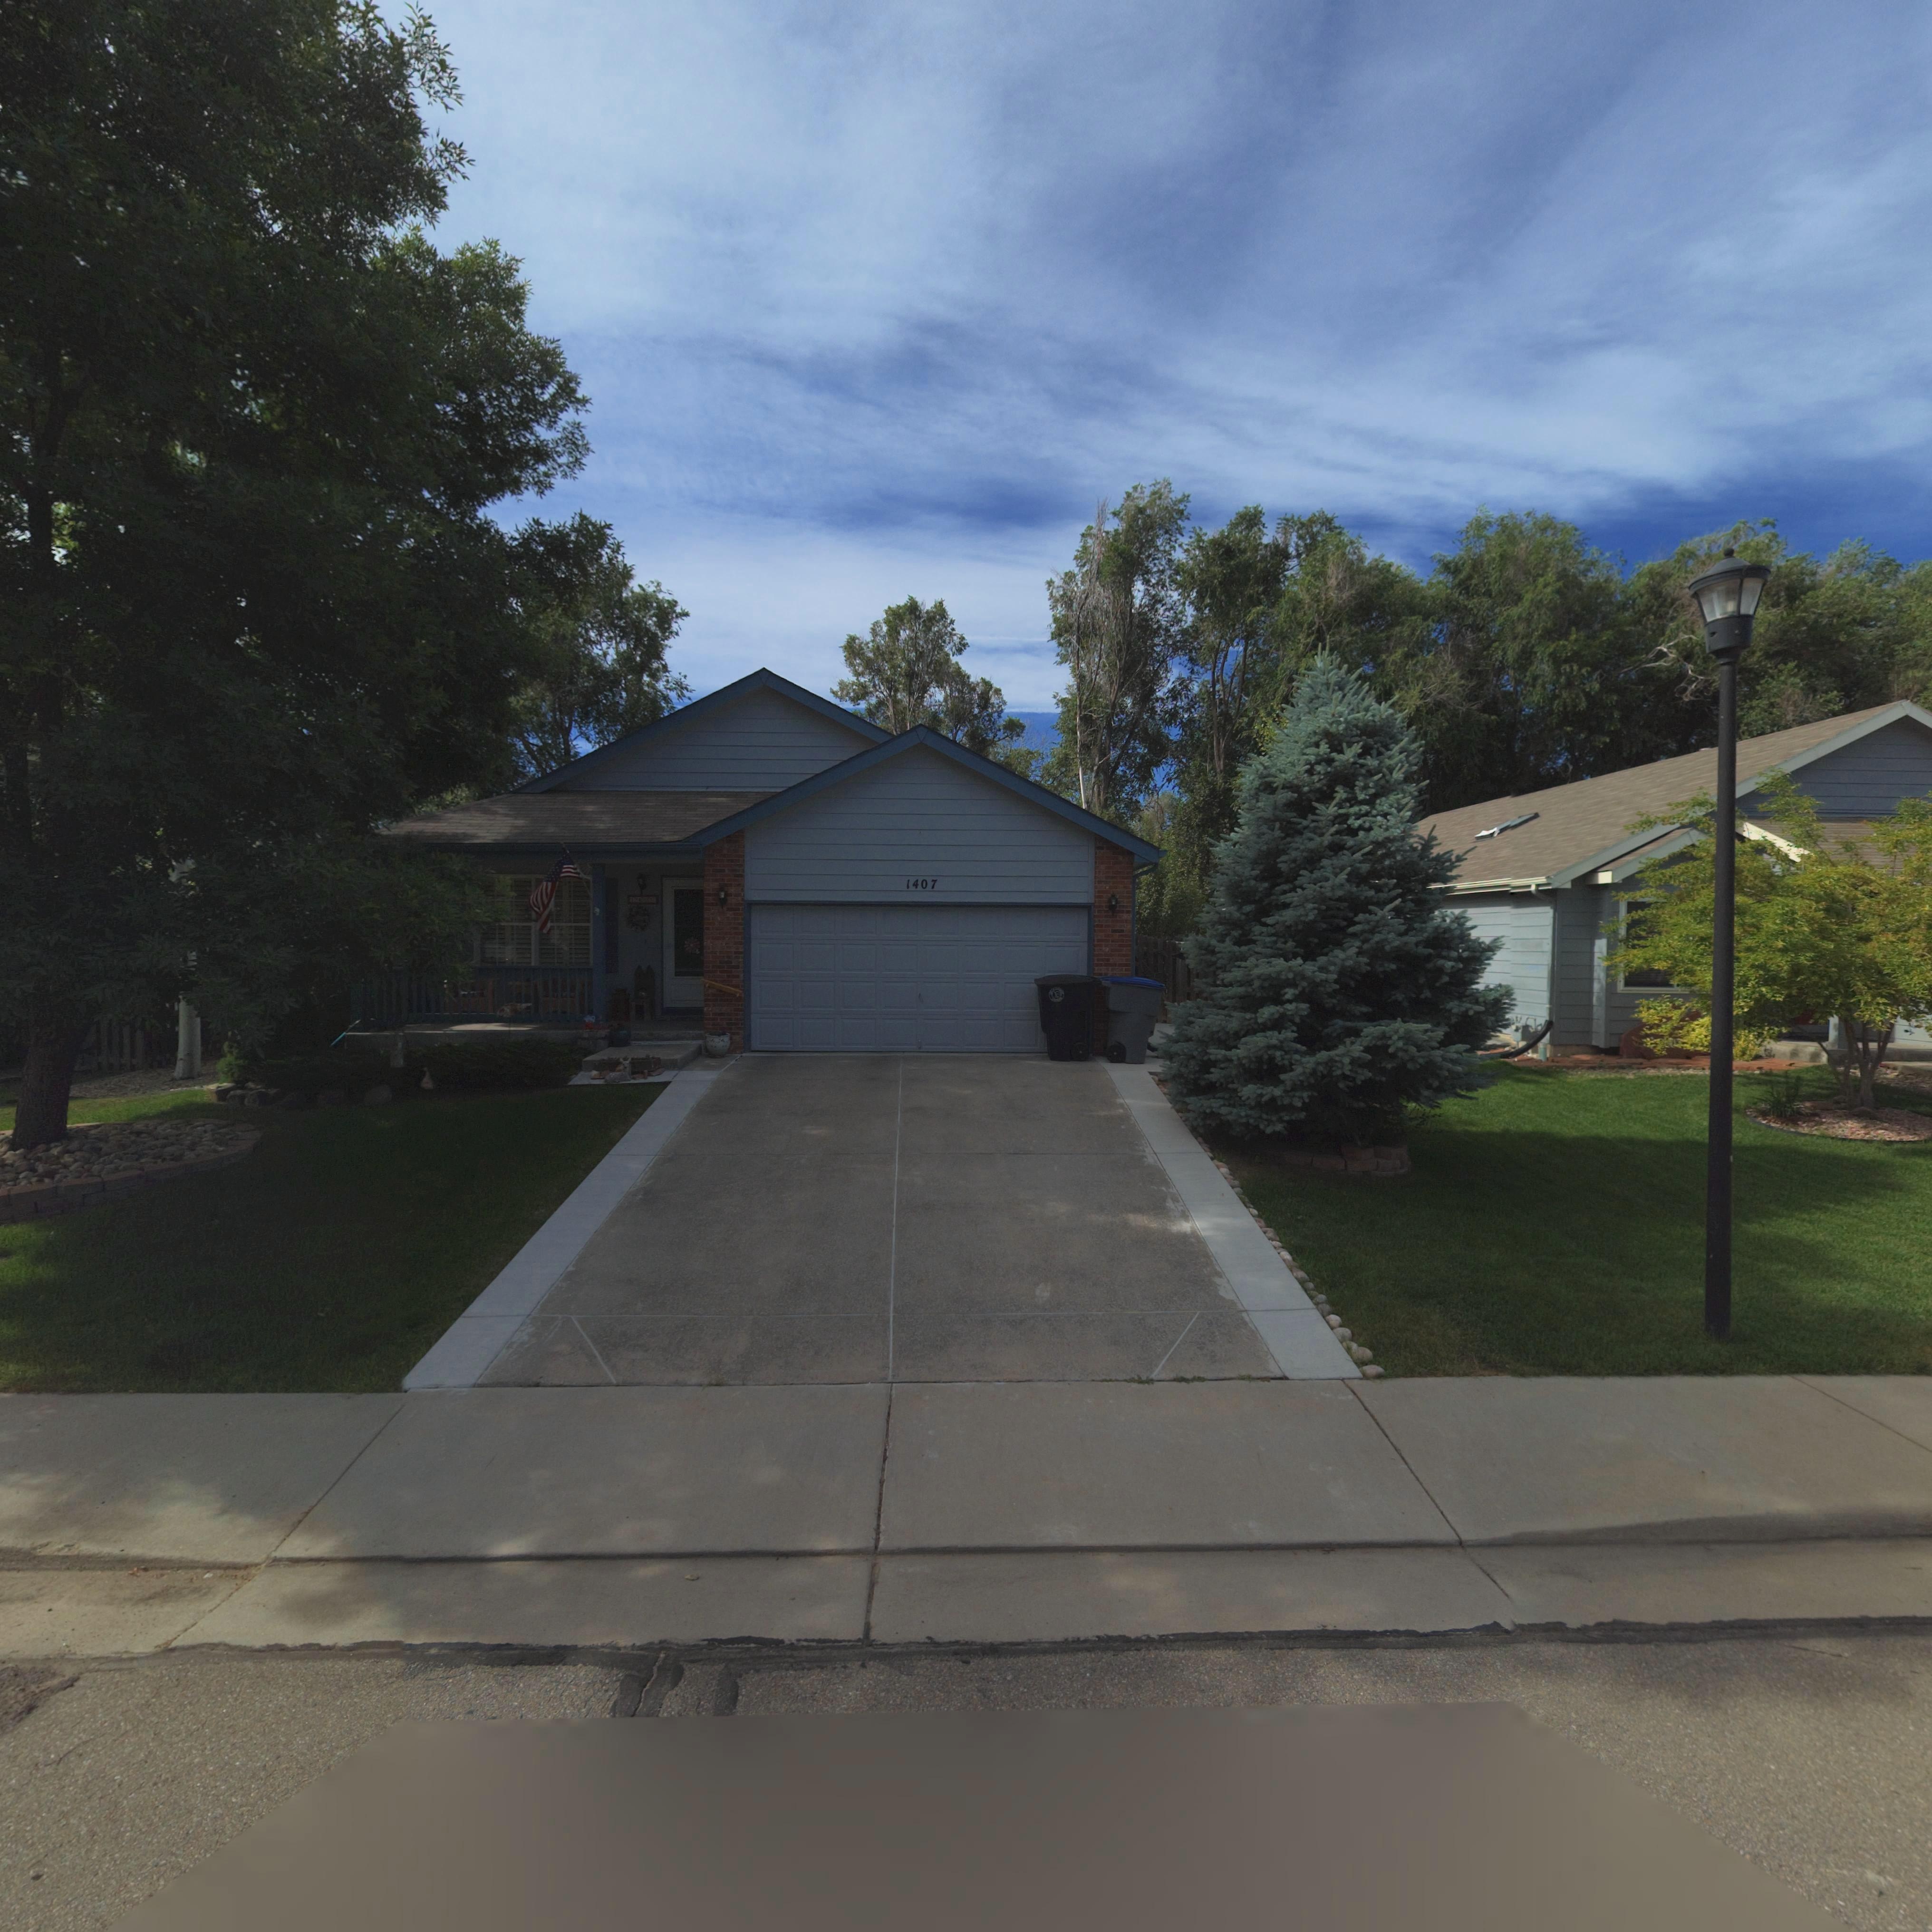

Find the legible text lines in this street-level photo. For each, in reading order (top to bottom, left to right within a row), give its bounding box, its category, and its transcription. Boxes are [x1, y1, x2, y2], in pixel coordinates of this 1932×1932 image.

[906, 878, 939, 889] StreetNumber: 1407
[629, 896, 655, 902] StreetNumber: 14**